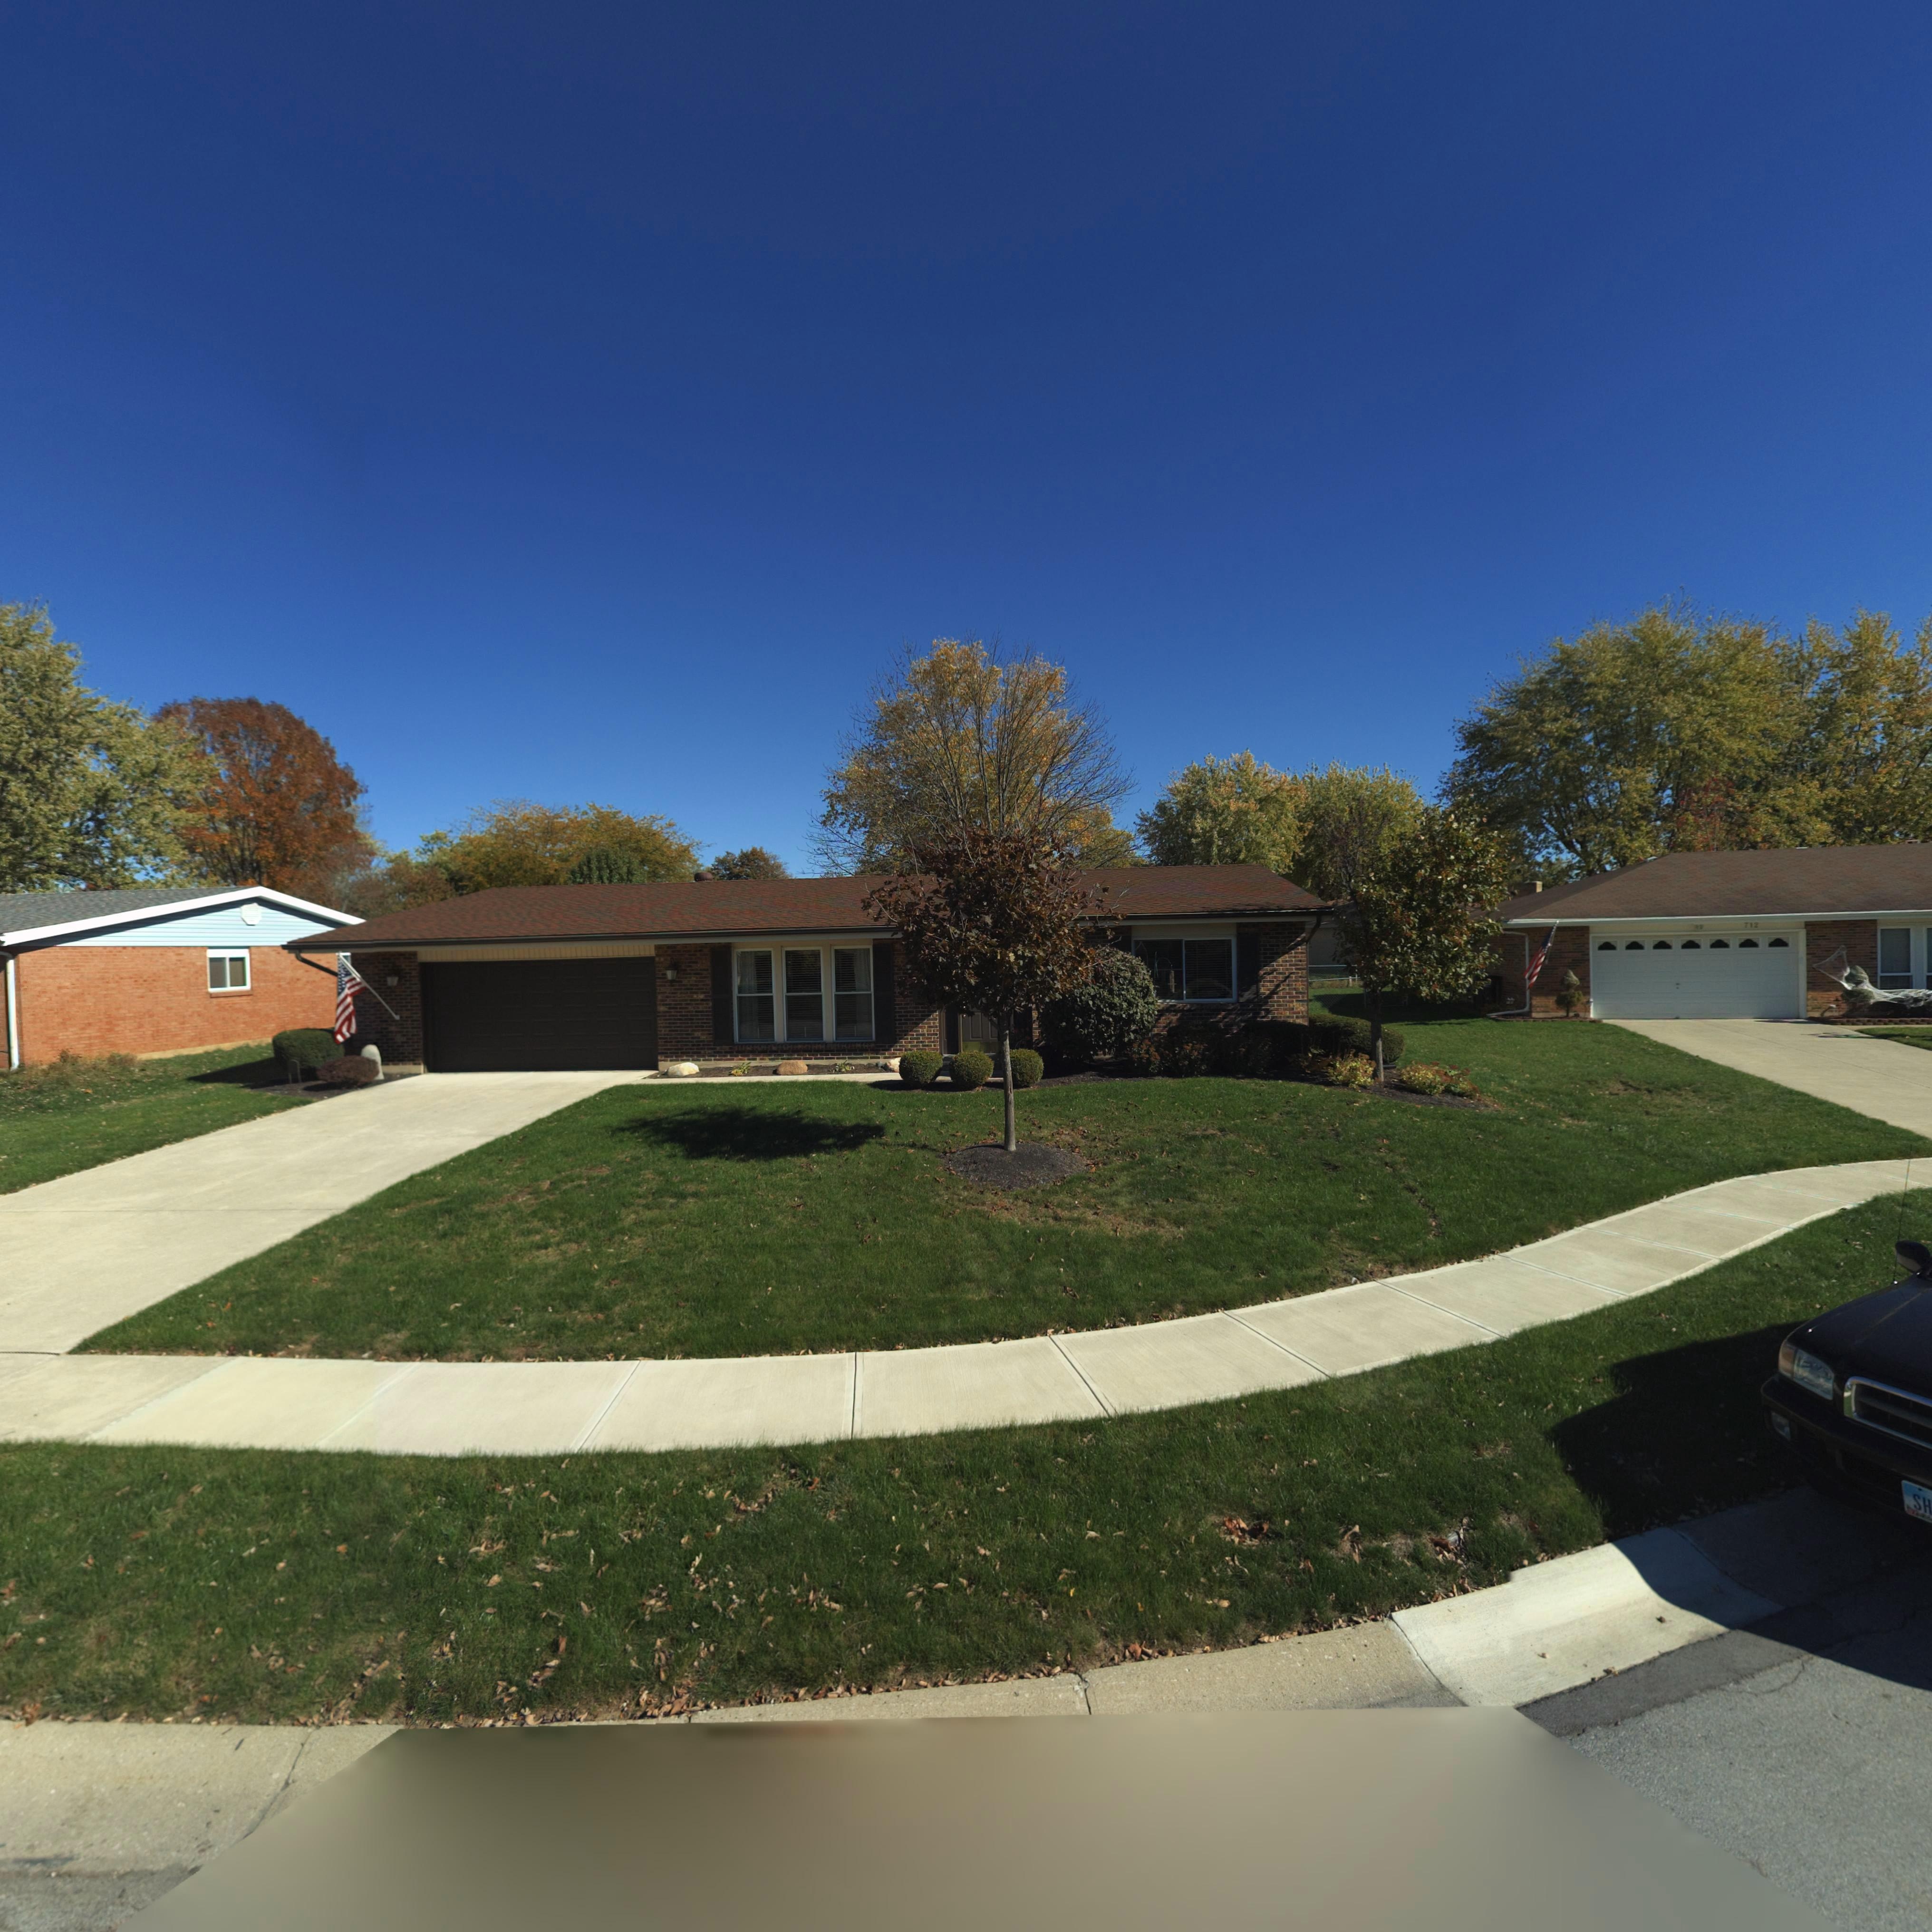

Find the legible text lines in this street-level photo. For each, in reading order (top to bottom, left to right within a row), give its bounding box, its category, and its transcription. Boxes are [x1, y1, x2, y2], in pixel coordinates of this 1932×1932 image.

[1744, 921, 1759, 928] StreetNumber: 712